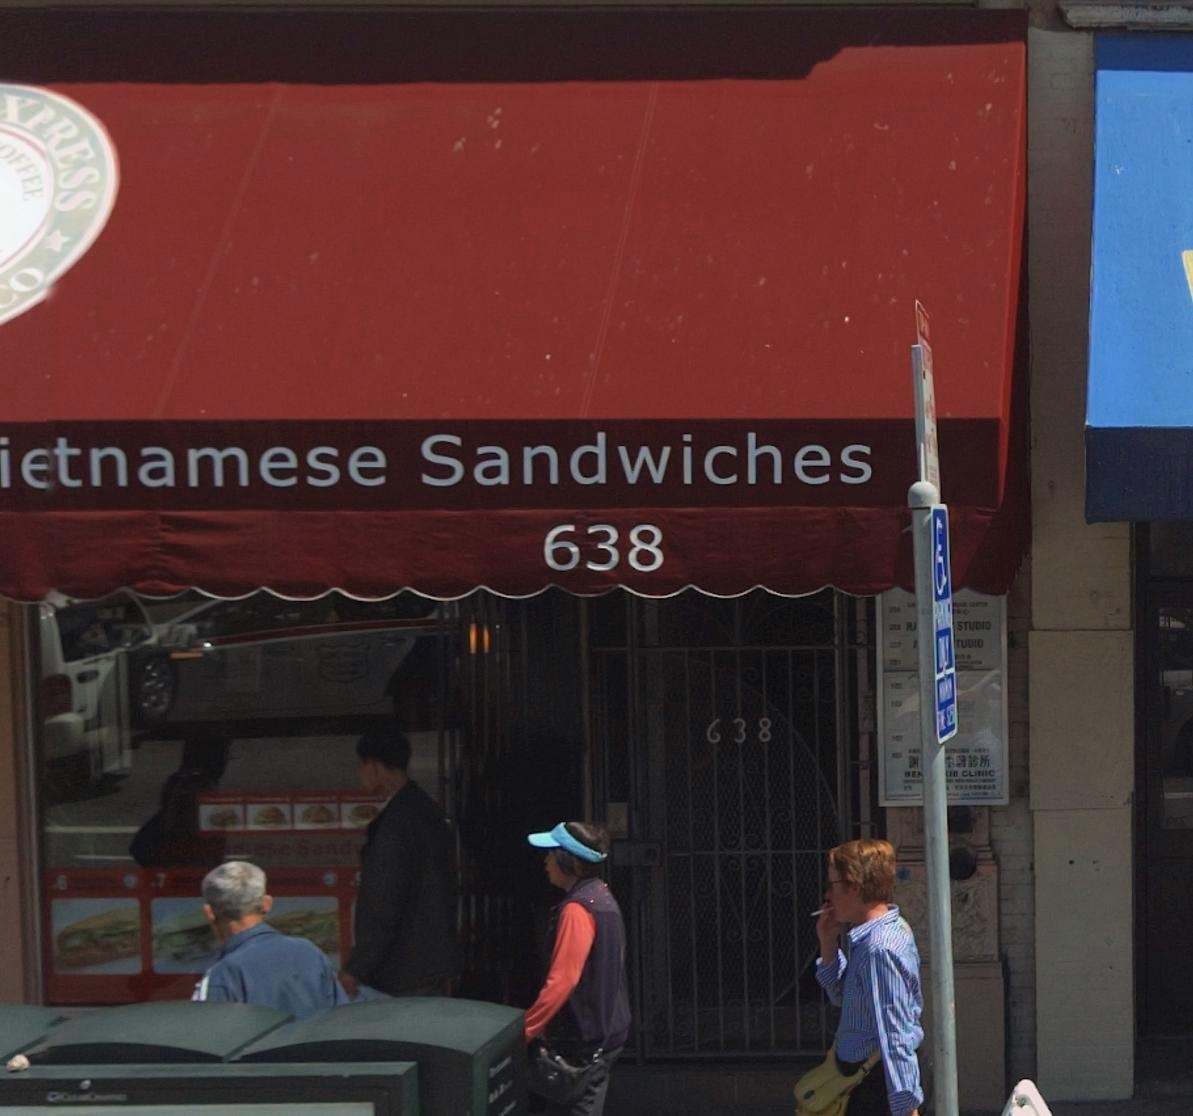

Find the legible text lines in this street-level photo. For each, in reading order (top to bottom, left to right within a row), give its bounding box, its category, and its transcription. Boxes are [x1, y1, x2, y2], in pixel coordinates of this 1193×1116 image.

[0, 86, 113, 219] None: X*RESS
[0, 252, 50, 318] None: *O
[49, 428, 877, 489] BusinessName: tnamese Sandwiches
[543, 521, 668, 575] StreetNumber: 38
[955, 638, 985, 648] None: TUDIO
[955, 620, 992, 631] None: STUDIO
[703, 714, 774, 745] StreetNumber: 638
[960, 769, 997, 777] None: CLINIC